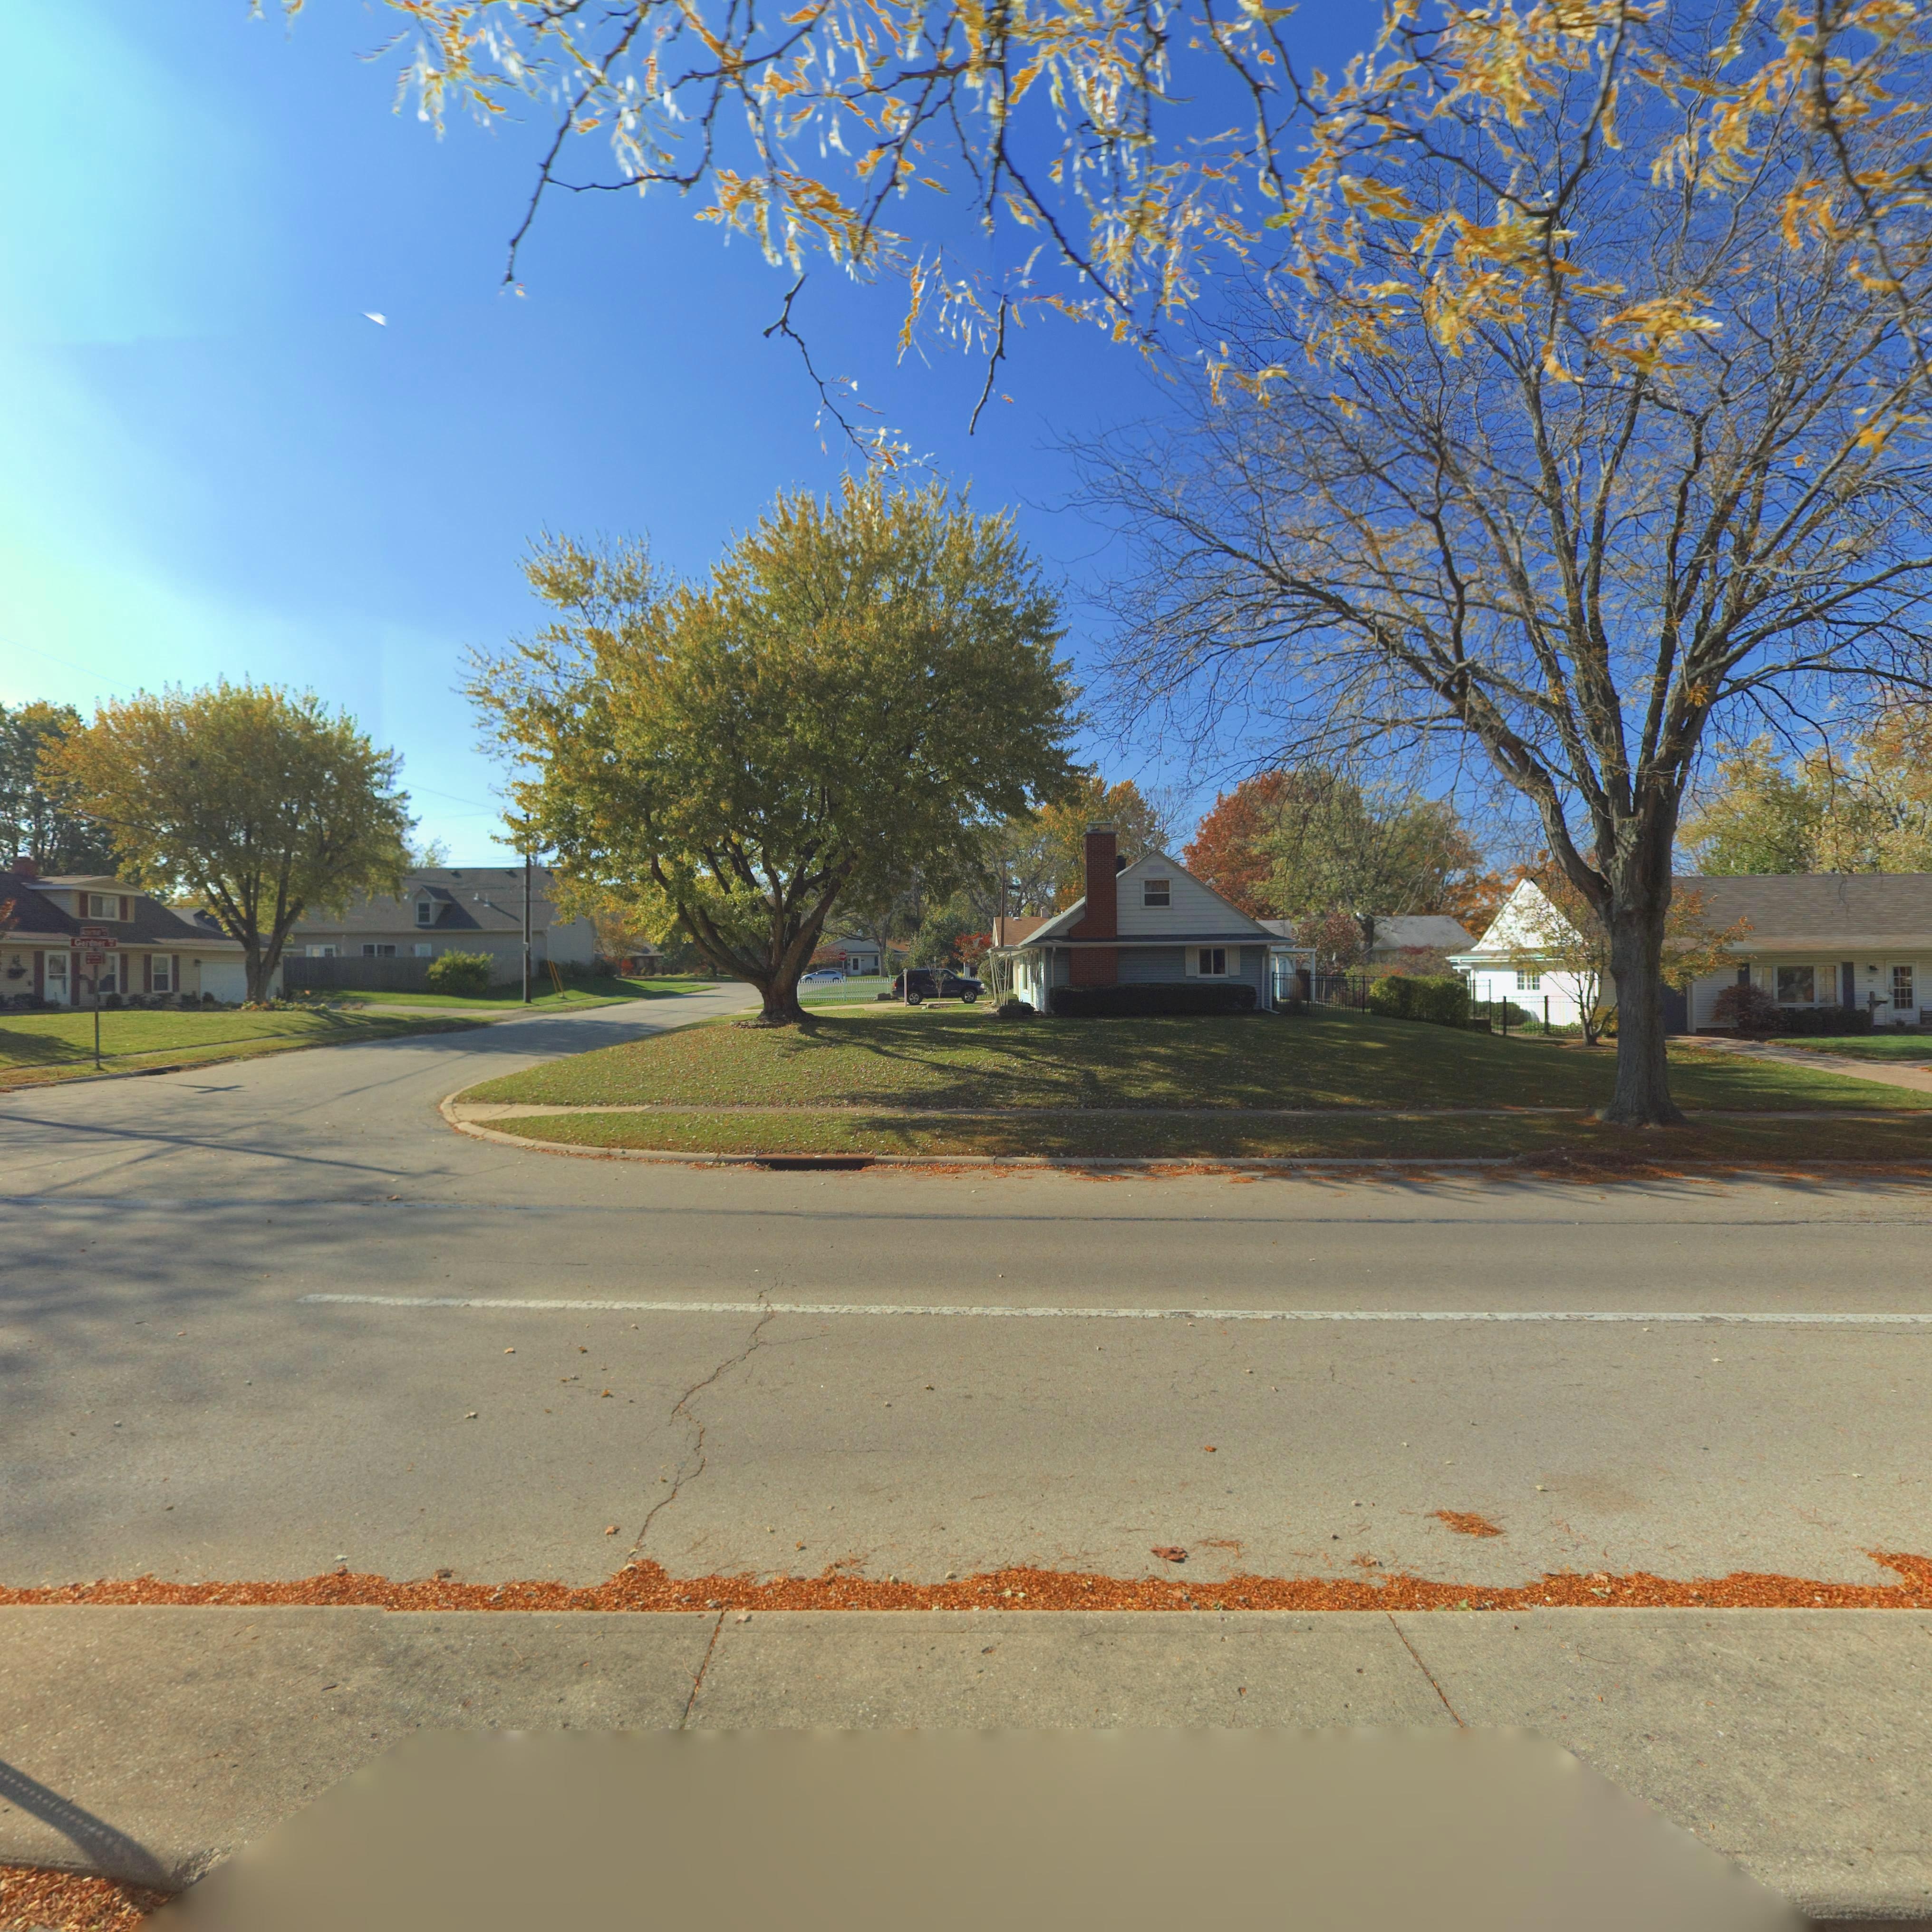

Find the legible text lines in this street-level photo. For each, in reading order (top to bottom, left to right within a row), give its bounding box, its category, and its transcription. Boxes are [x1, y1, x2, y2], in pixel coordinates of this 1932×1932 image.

[73, 938, 90, 947] StreetName: Gar